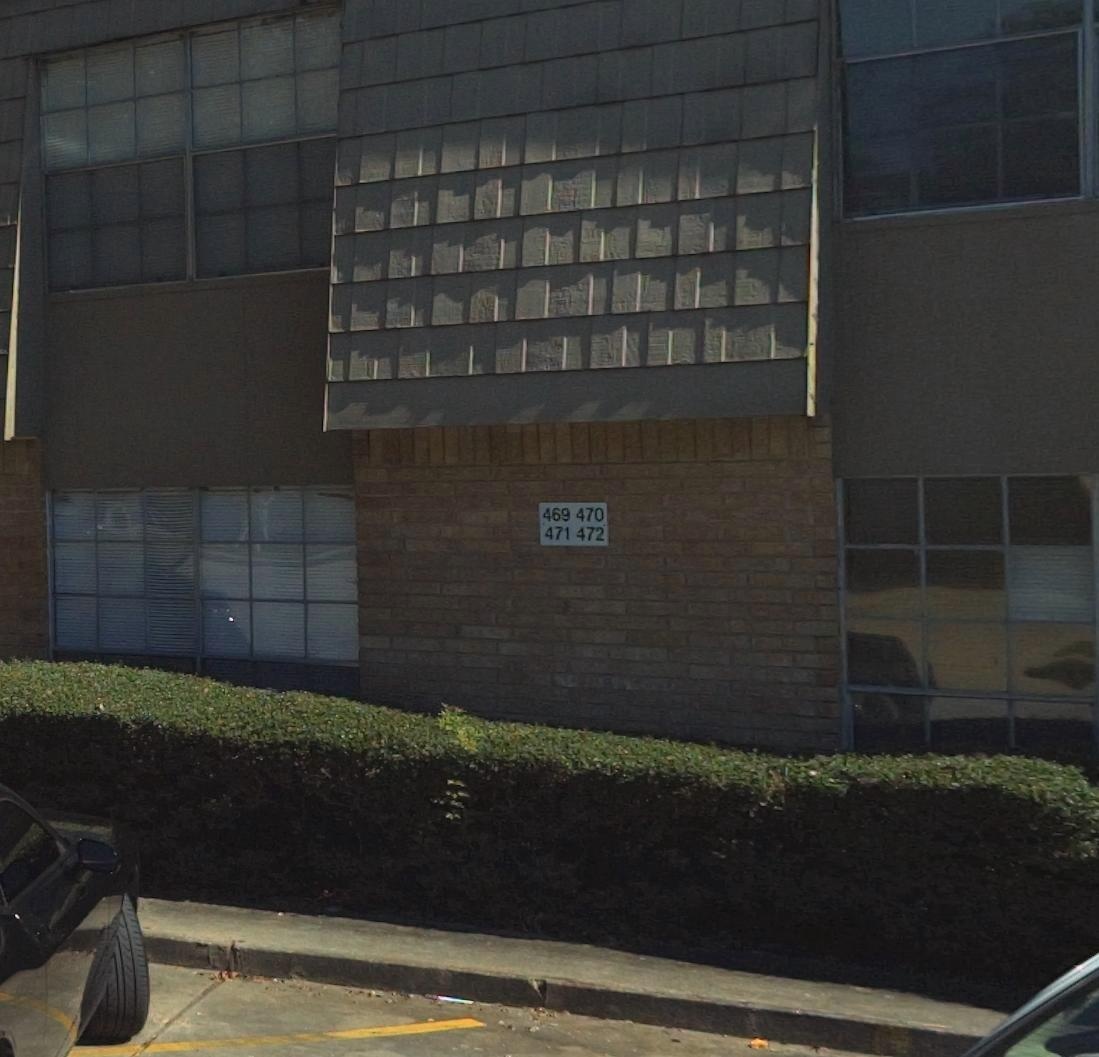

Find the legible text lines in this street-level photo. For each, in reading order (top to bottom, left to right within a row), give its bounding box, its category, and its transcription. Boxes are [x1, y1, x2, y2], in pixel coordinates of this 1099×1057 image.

[542, 505, 573, 524] StreetNumber: 469
[574, 505, 607, 524] StreetNumber: 470
[542, 524, 573, 543] StreetNumber: 471
[574, 524, 607, 543] StreetNumber: 472